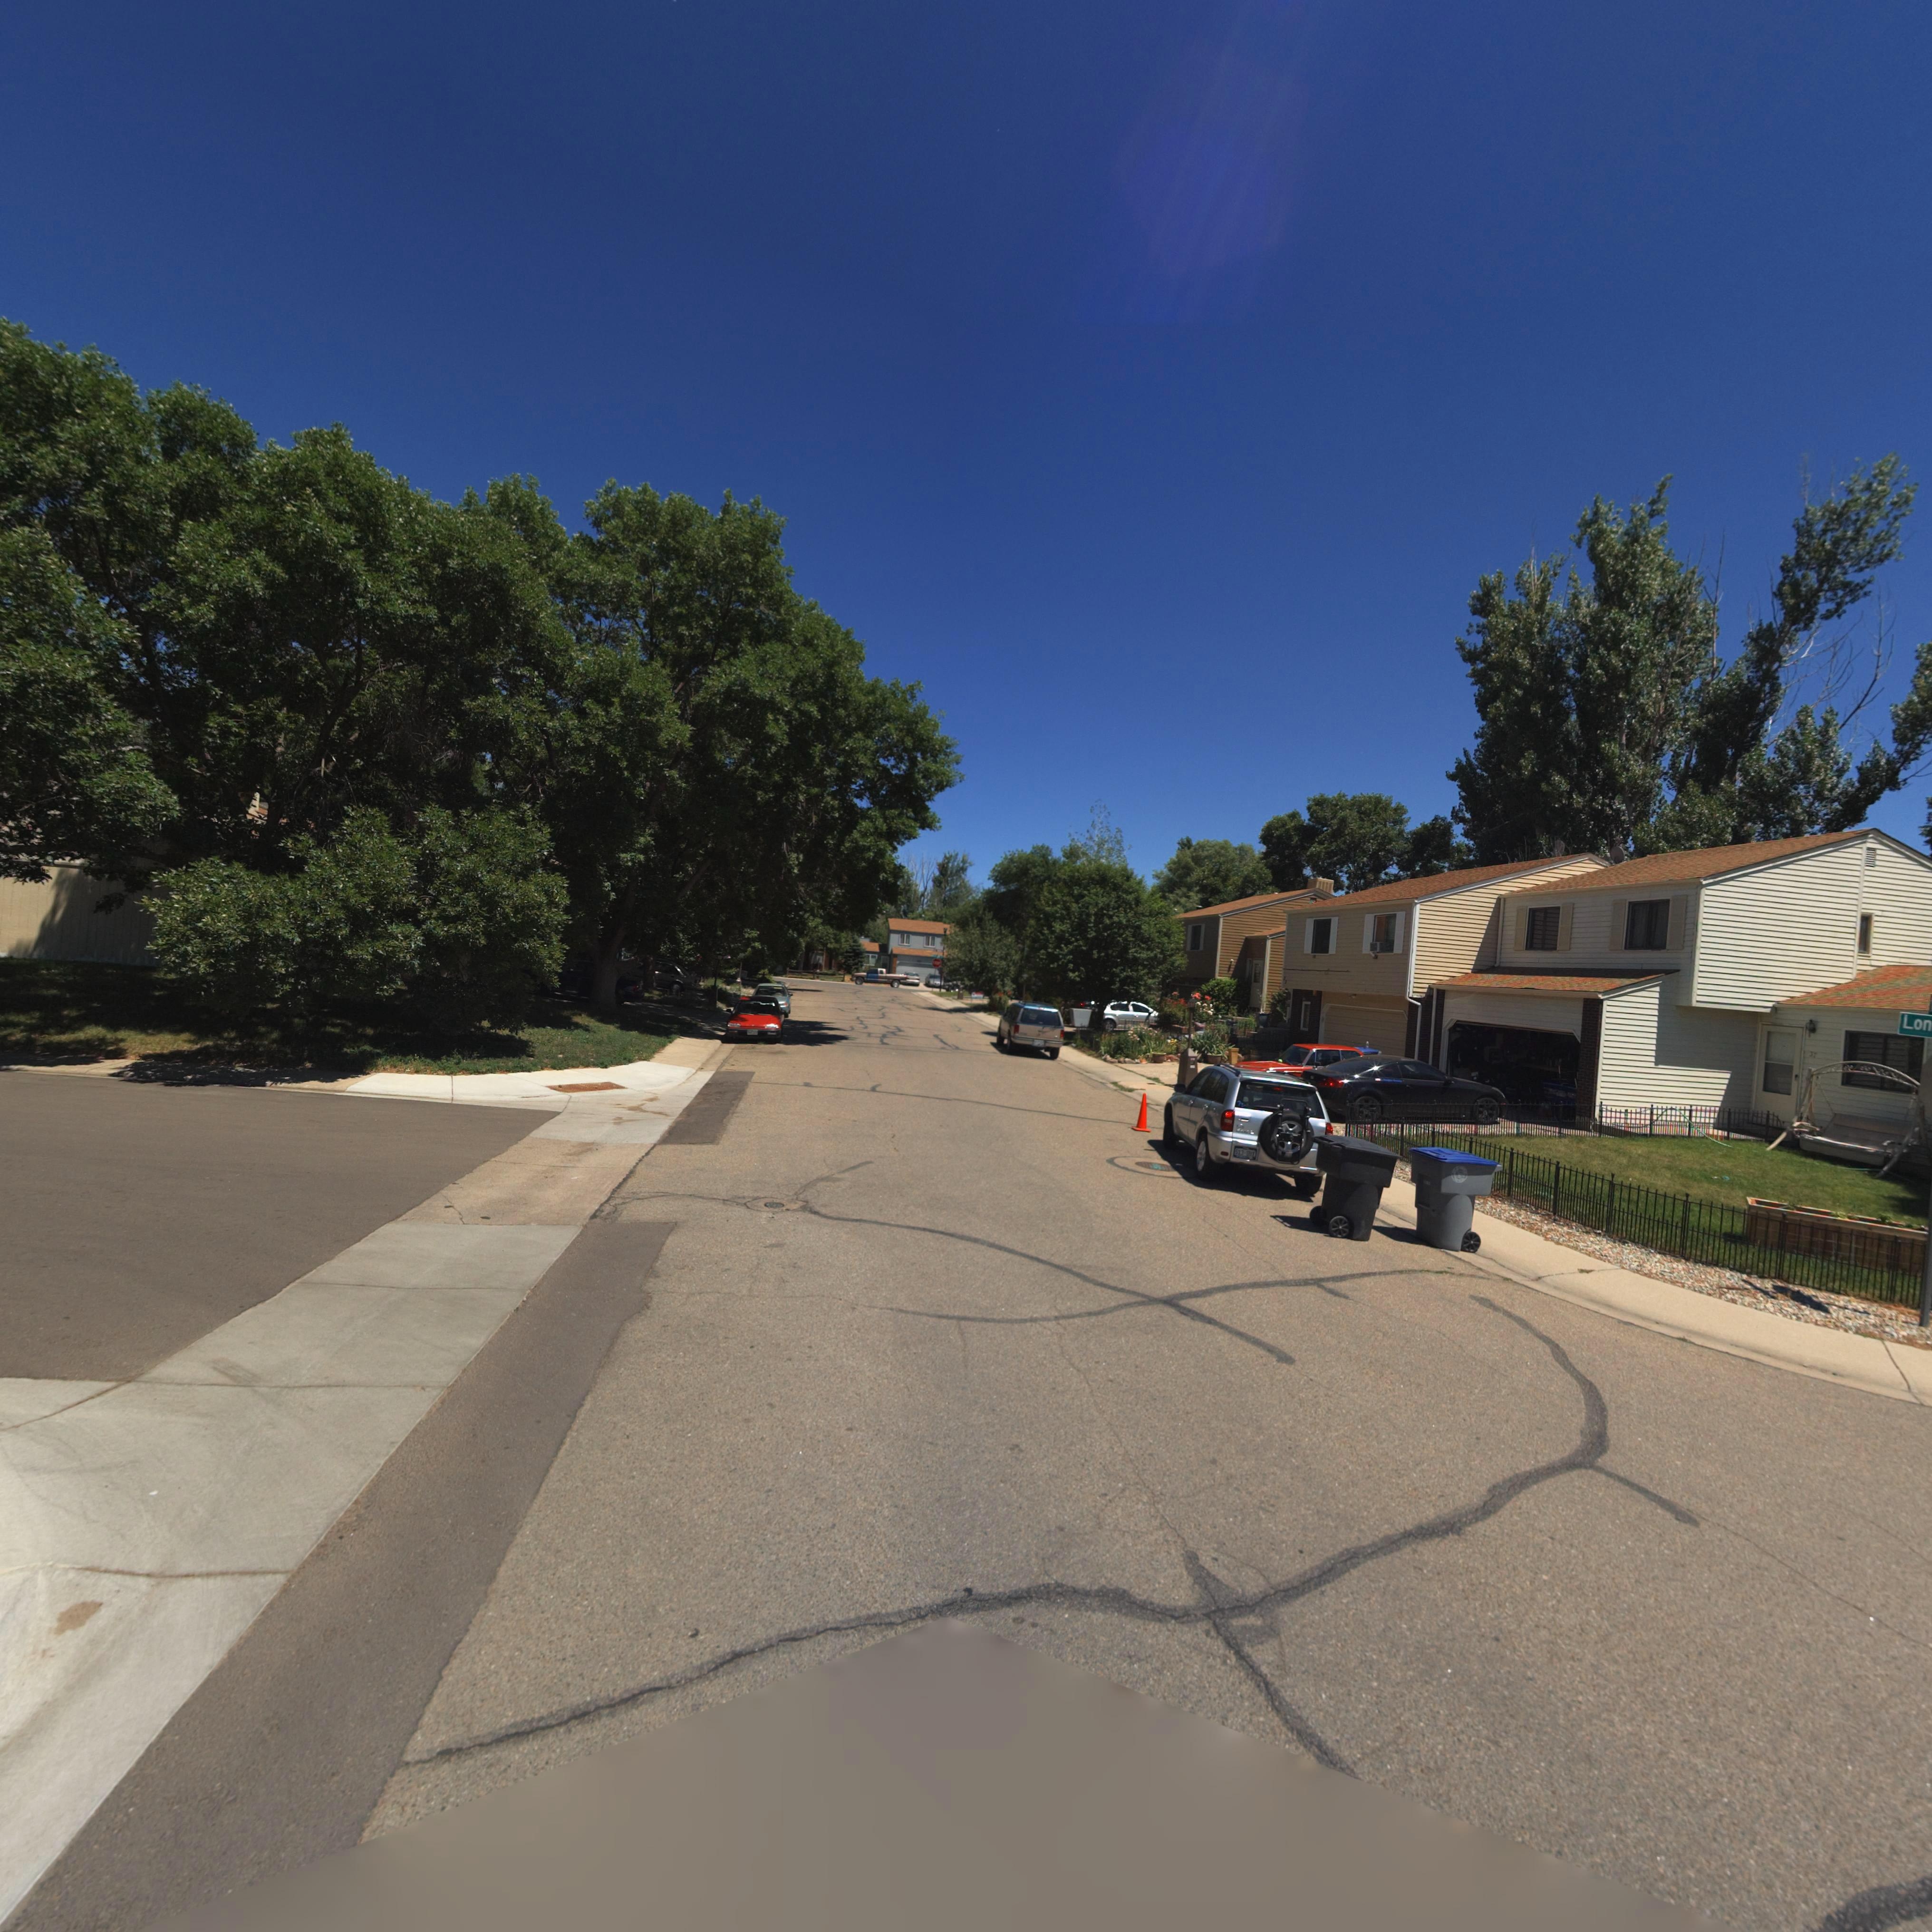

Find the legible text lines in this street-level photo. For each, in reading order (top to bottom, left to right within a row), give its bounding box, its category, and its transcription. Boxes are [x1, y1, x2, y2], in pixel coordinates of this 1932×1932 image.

[1902, 1014, 1931, 1032] StreetName: Lon
[1809, 1051, 1817, 1059] StreetNumber: 37